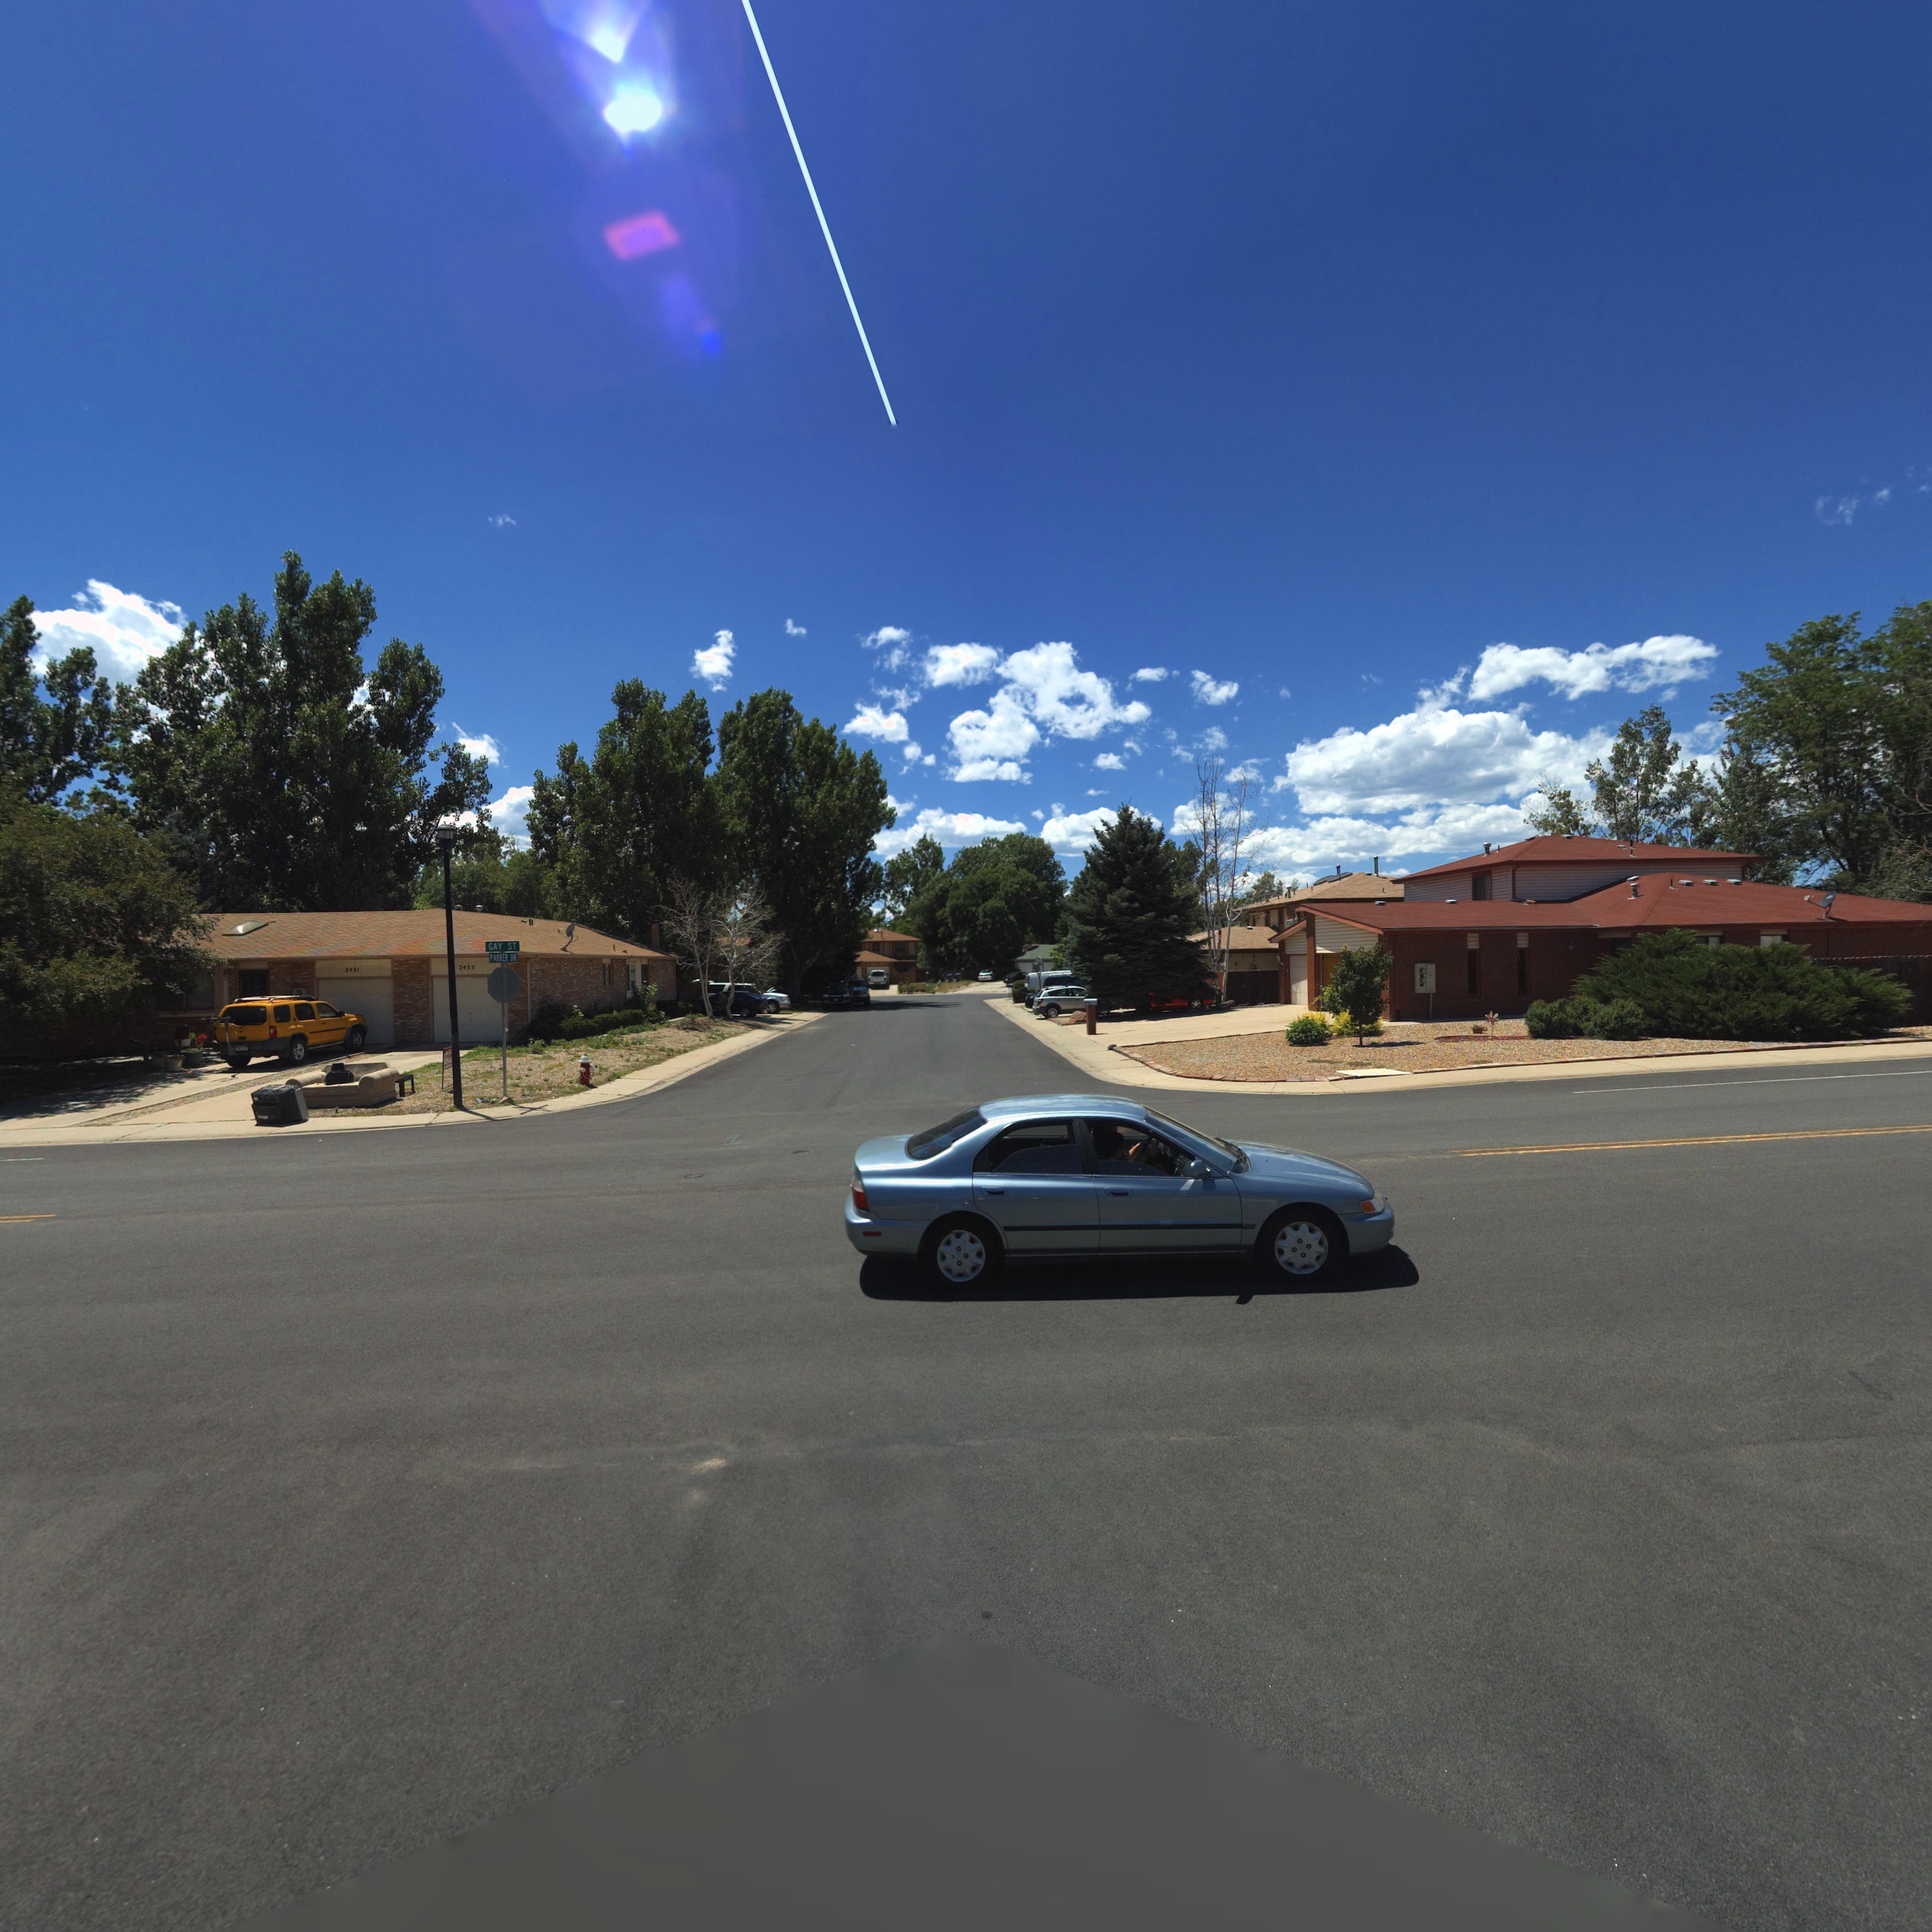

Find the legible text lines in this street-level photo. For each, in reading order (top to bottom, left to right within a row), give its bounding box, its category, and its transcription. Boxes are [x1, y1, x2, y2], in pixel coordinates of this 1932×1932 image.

[488, 942, 516, 950] StreetName: GAY ST
[490, 953, 516, 962] StreetName: PARKER DR
[345, 967, 359, 972] StreetNumber: 2431
[458, 965, 474, 970] StreetNumber: 2433